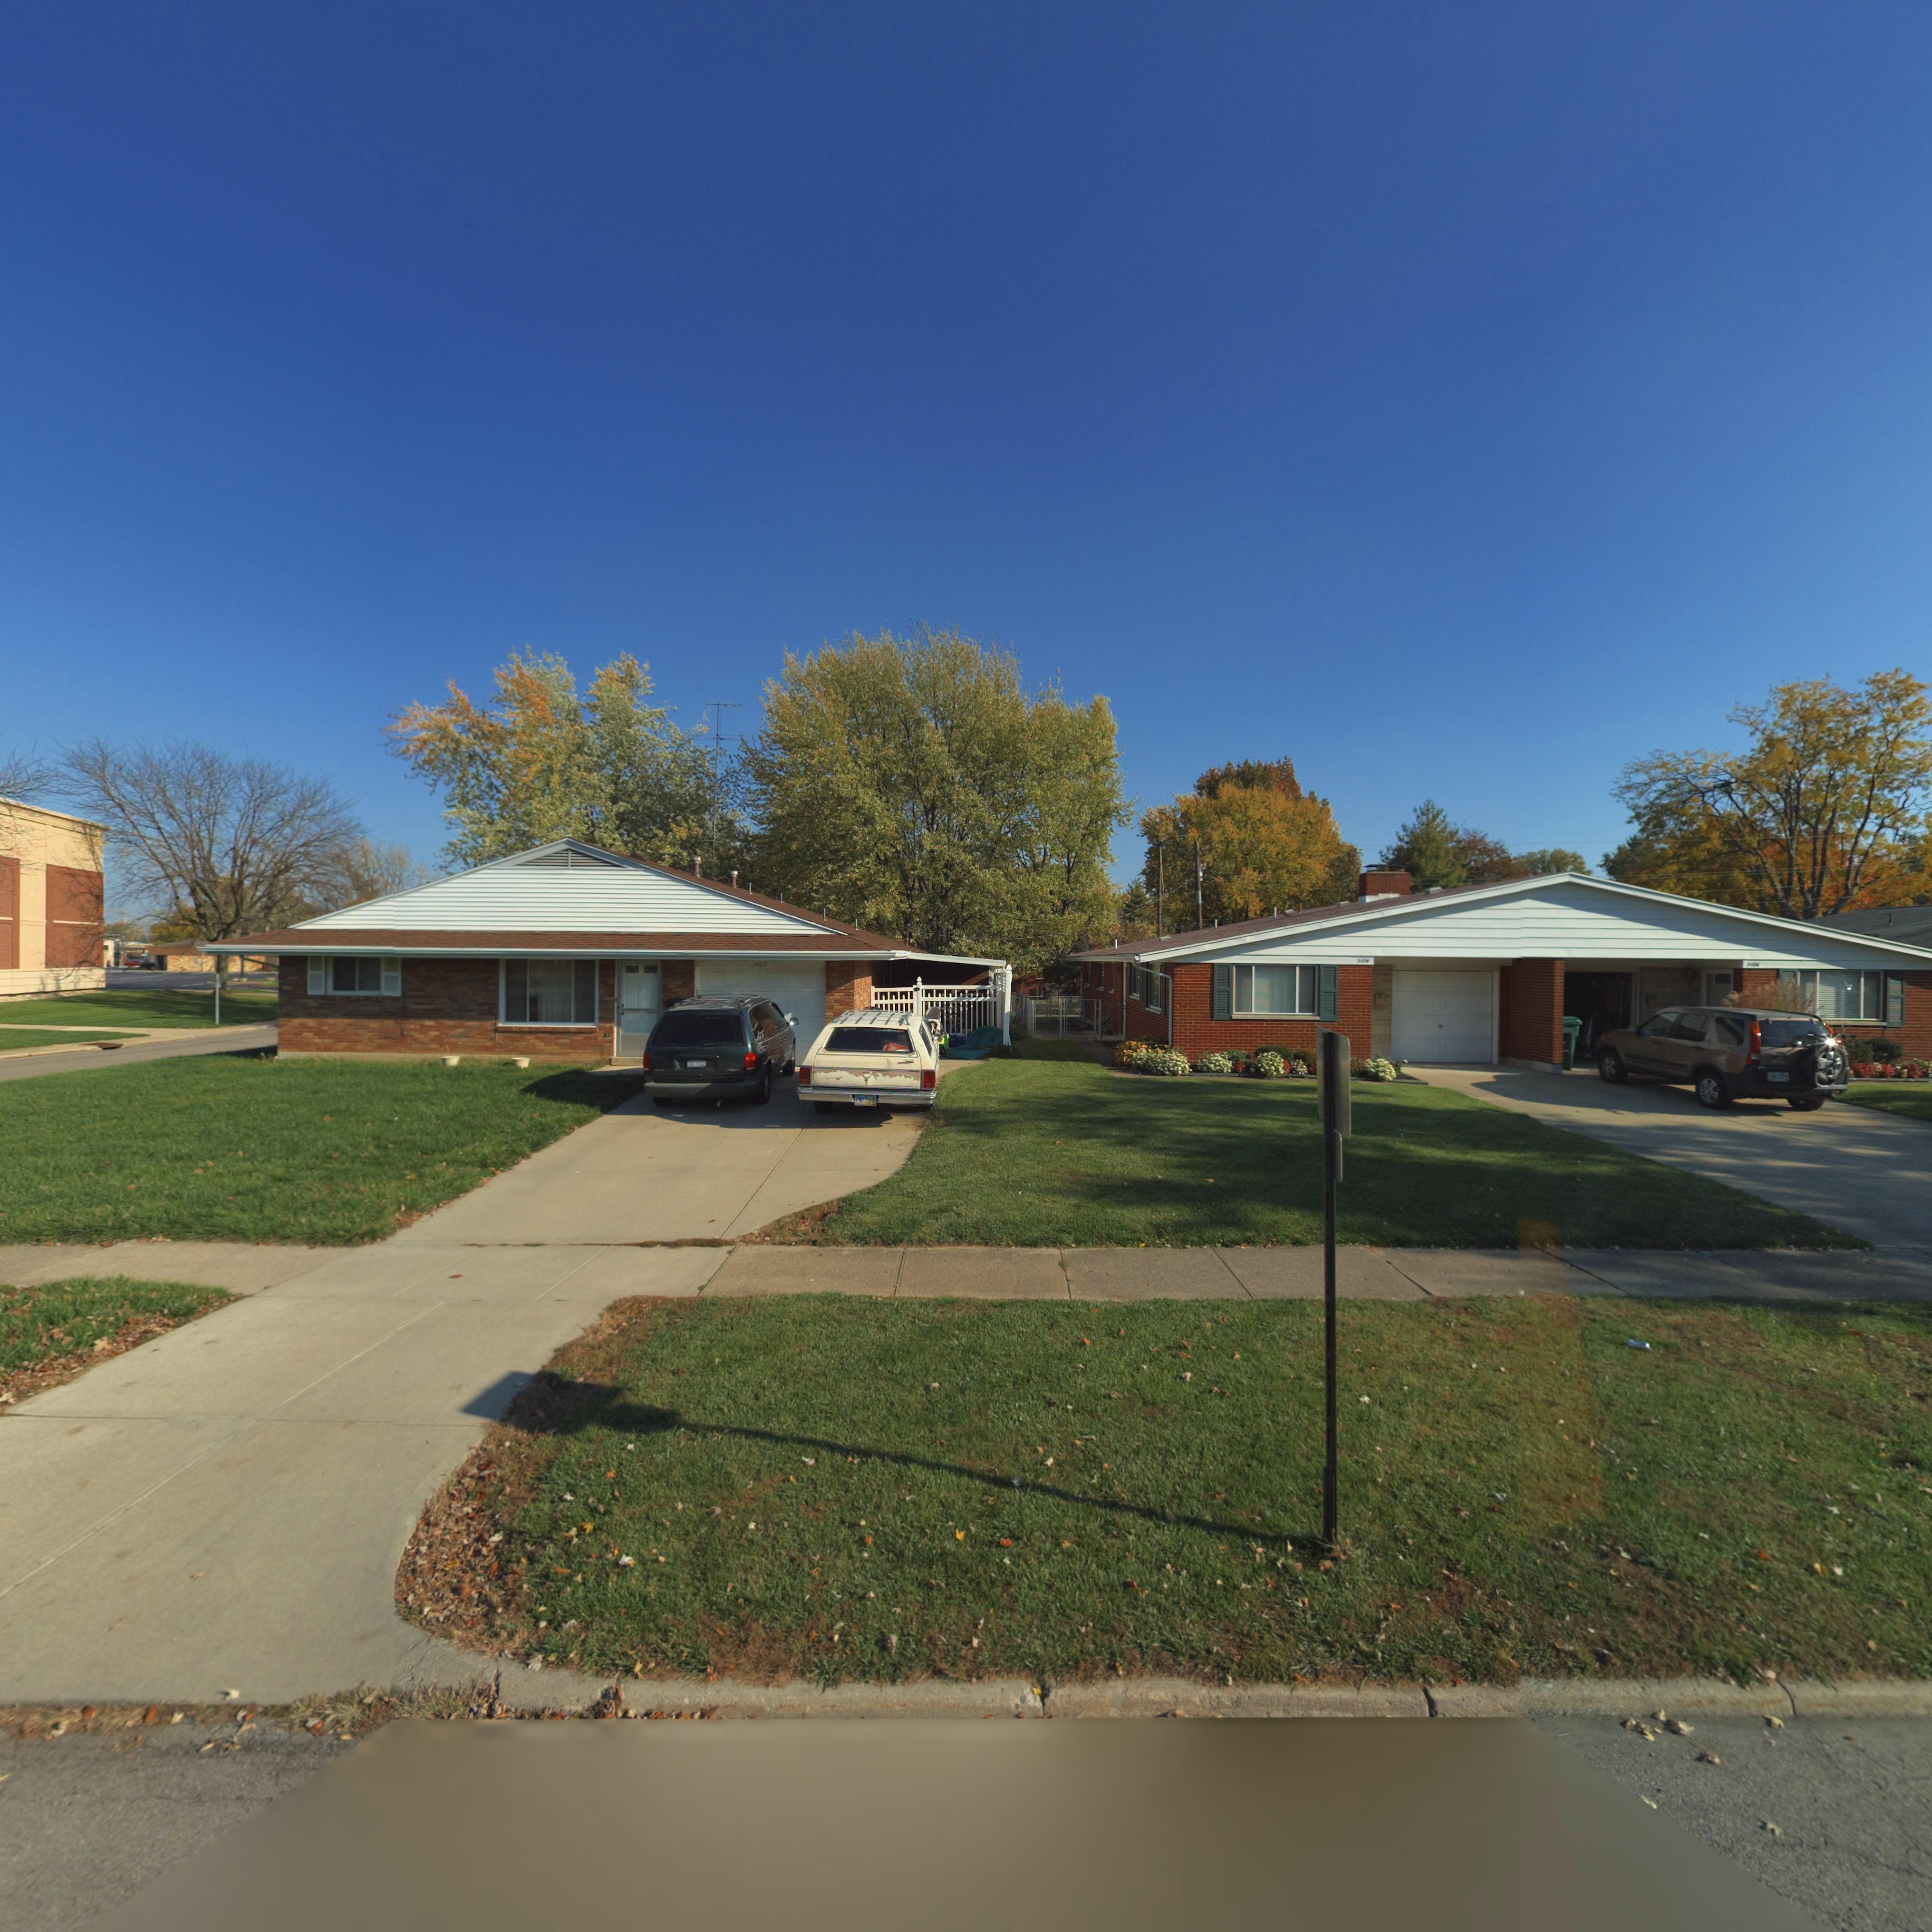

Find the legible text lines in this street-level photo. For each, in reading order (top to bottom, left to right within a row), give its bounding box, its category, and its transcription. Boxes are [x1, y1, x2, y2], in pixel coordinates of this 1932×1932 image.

[751, 960, 767, 967] StreetNumber: 3102
[1355, 957, 1370, 963] StreetNumber: 3104